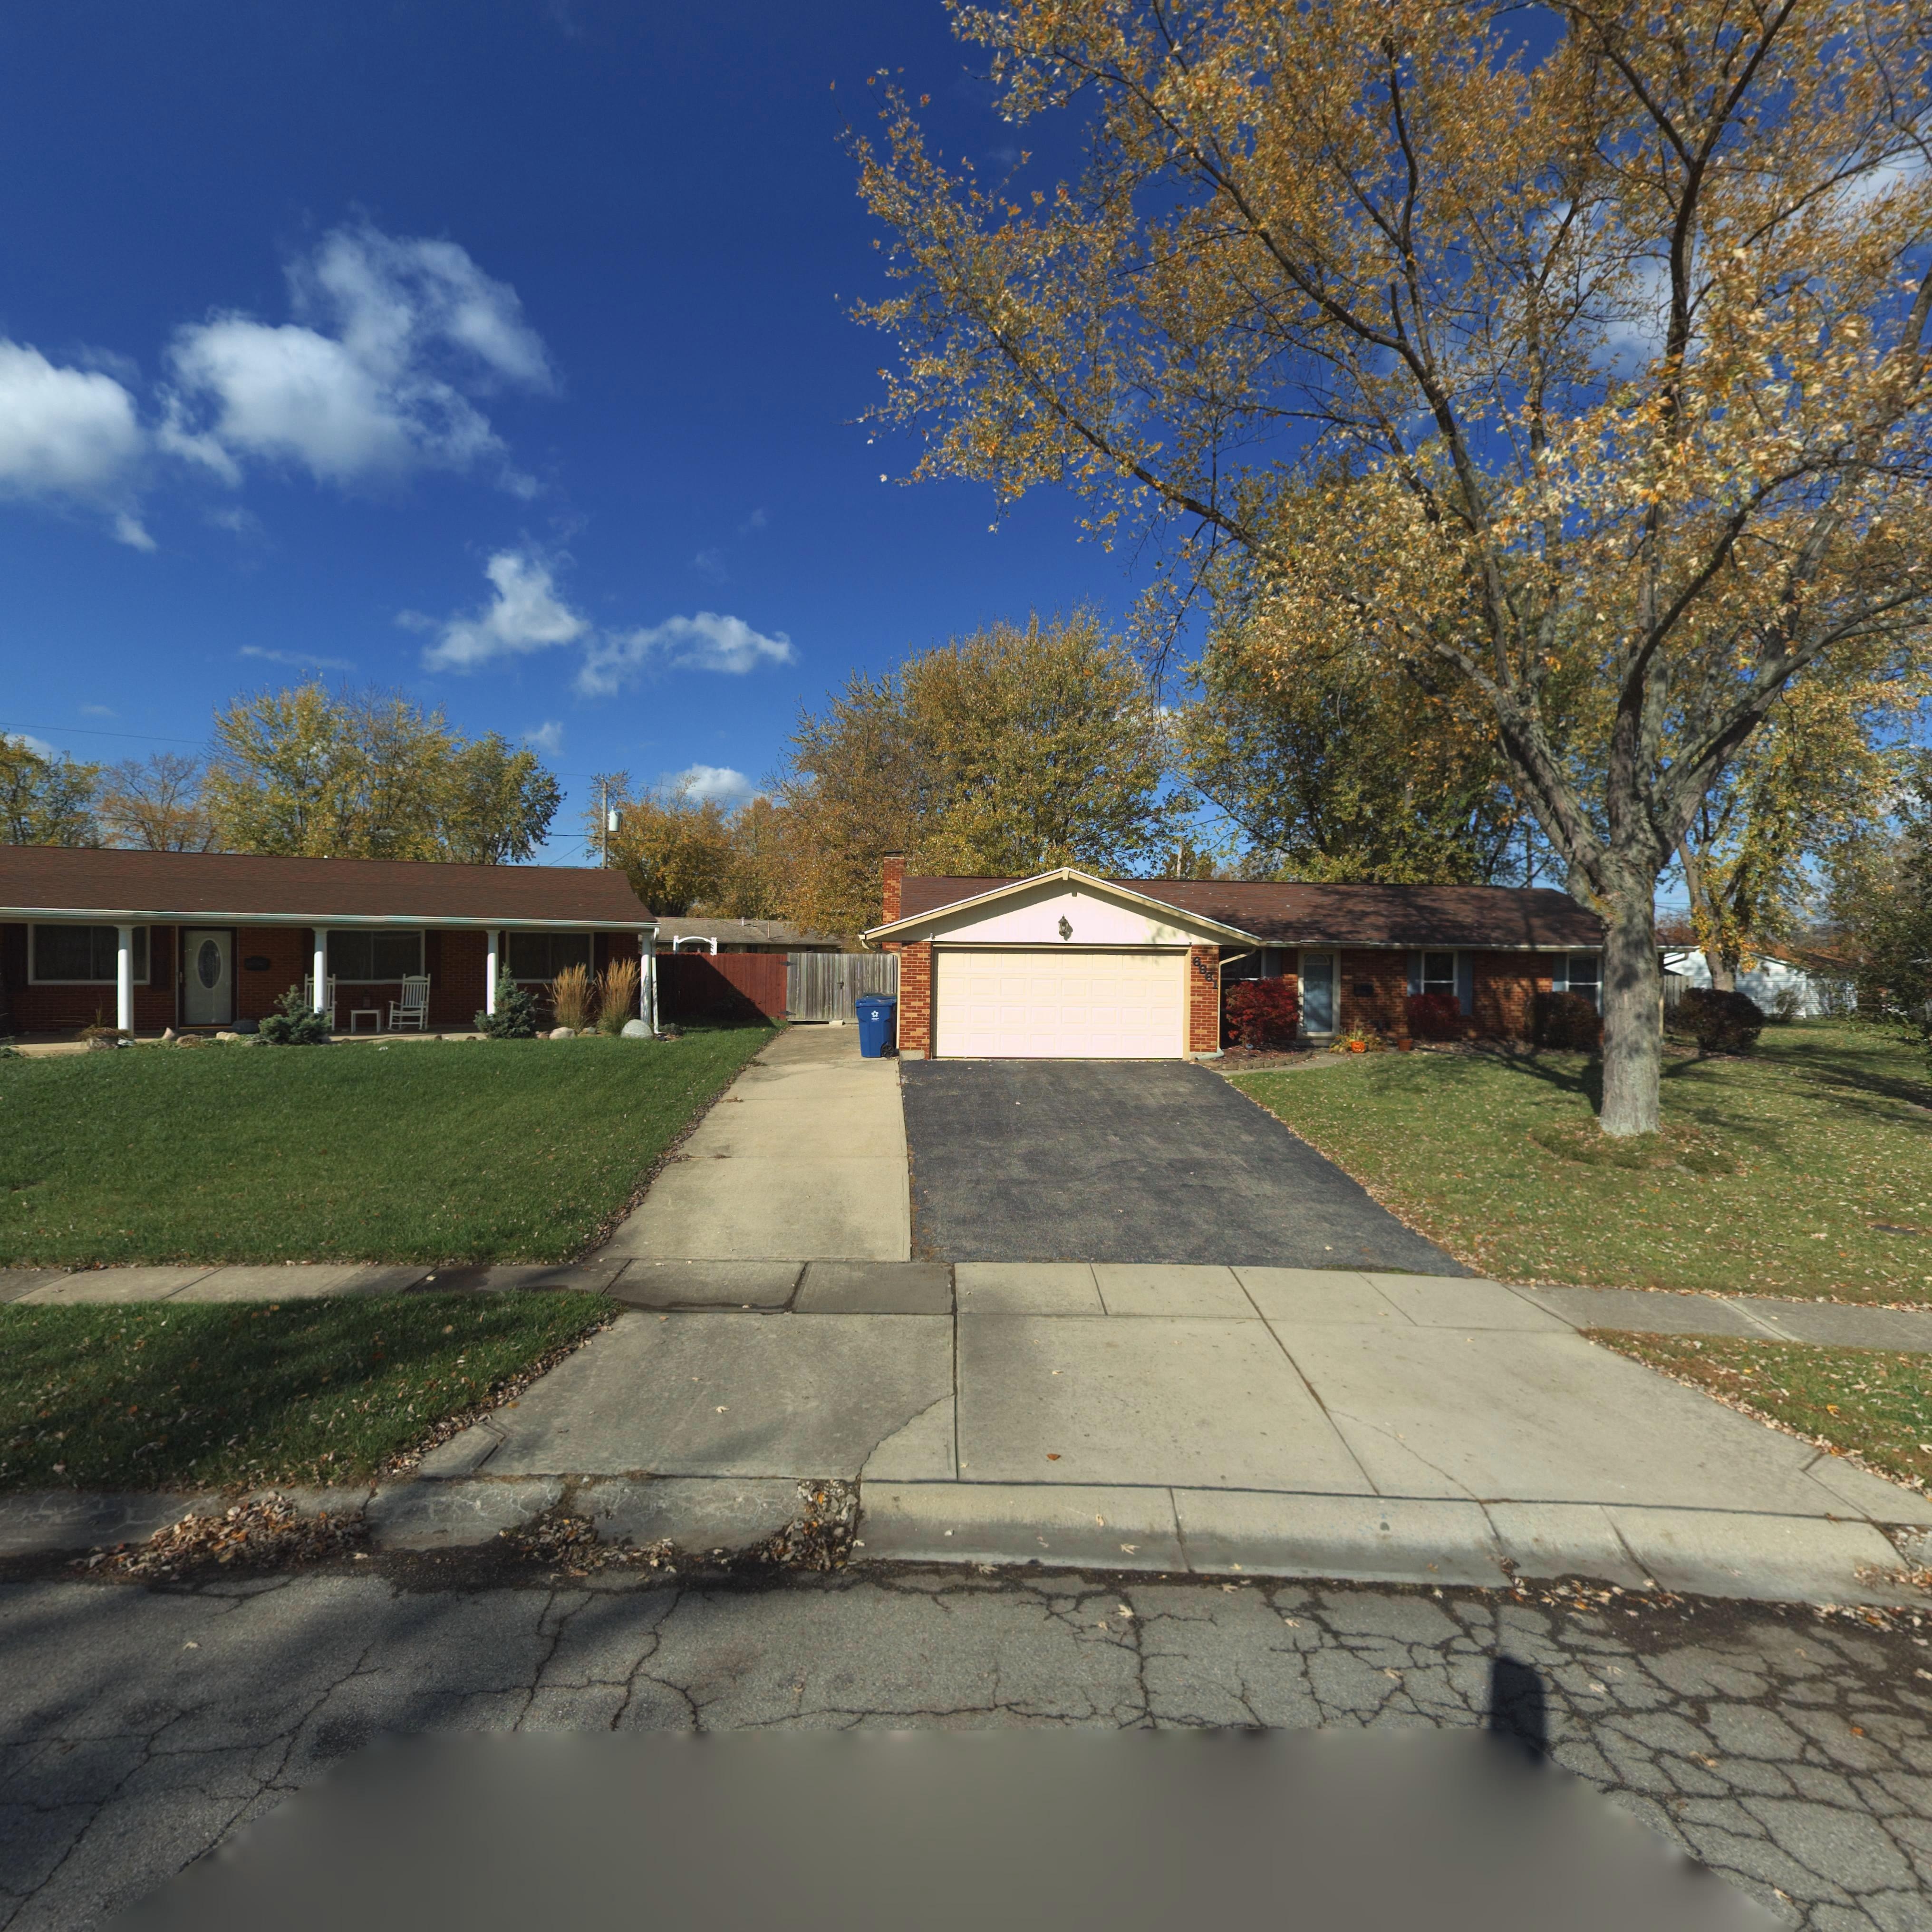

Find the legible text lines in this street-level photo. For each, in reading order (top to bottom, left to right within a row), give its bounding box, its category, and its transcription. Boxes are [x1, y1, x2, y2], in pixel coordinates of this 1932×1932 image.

[1192, 955, 1219, 991] StreetNumber: 6961